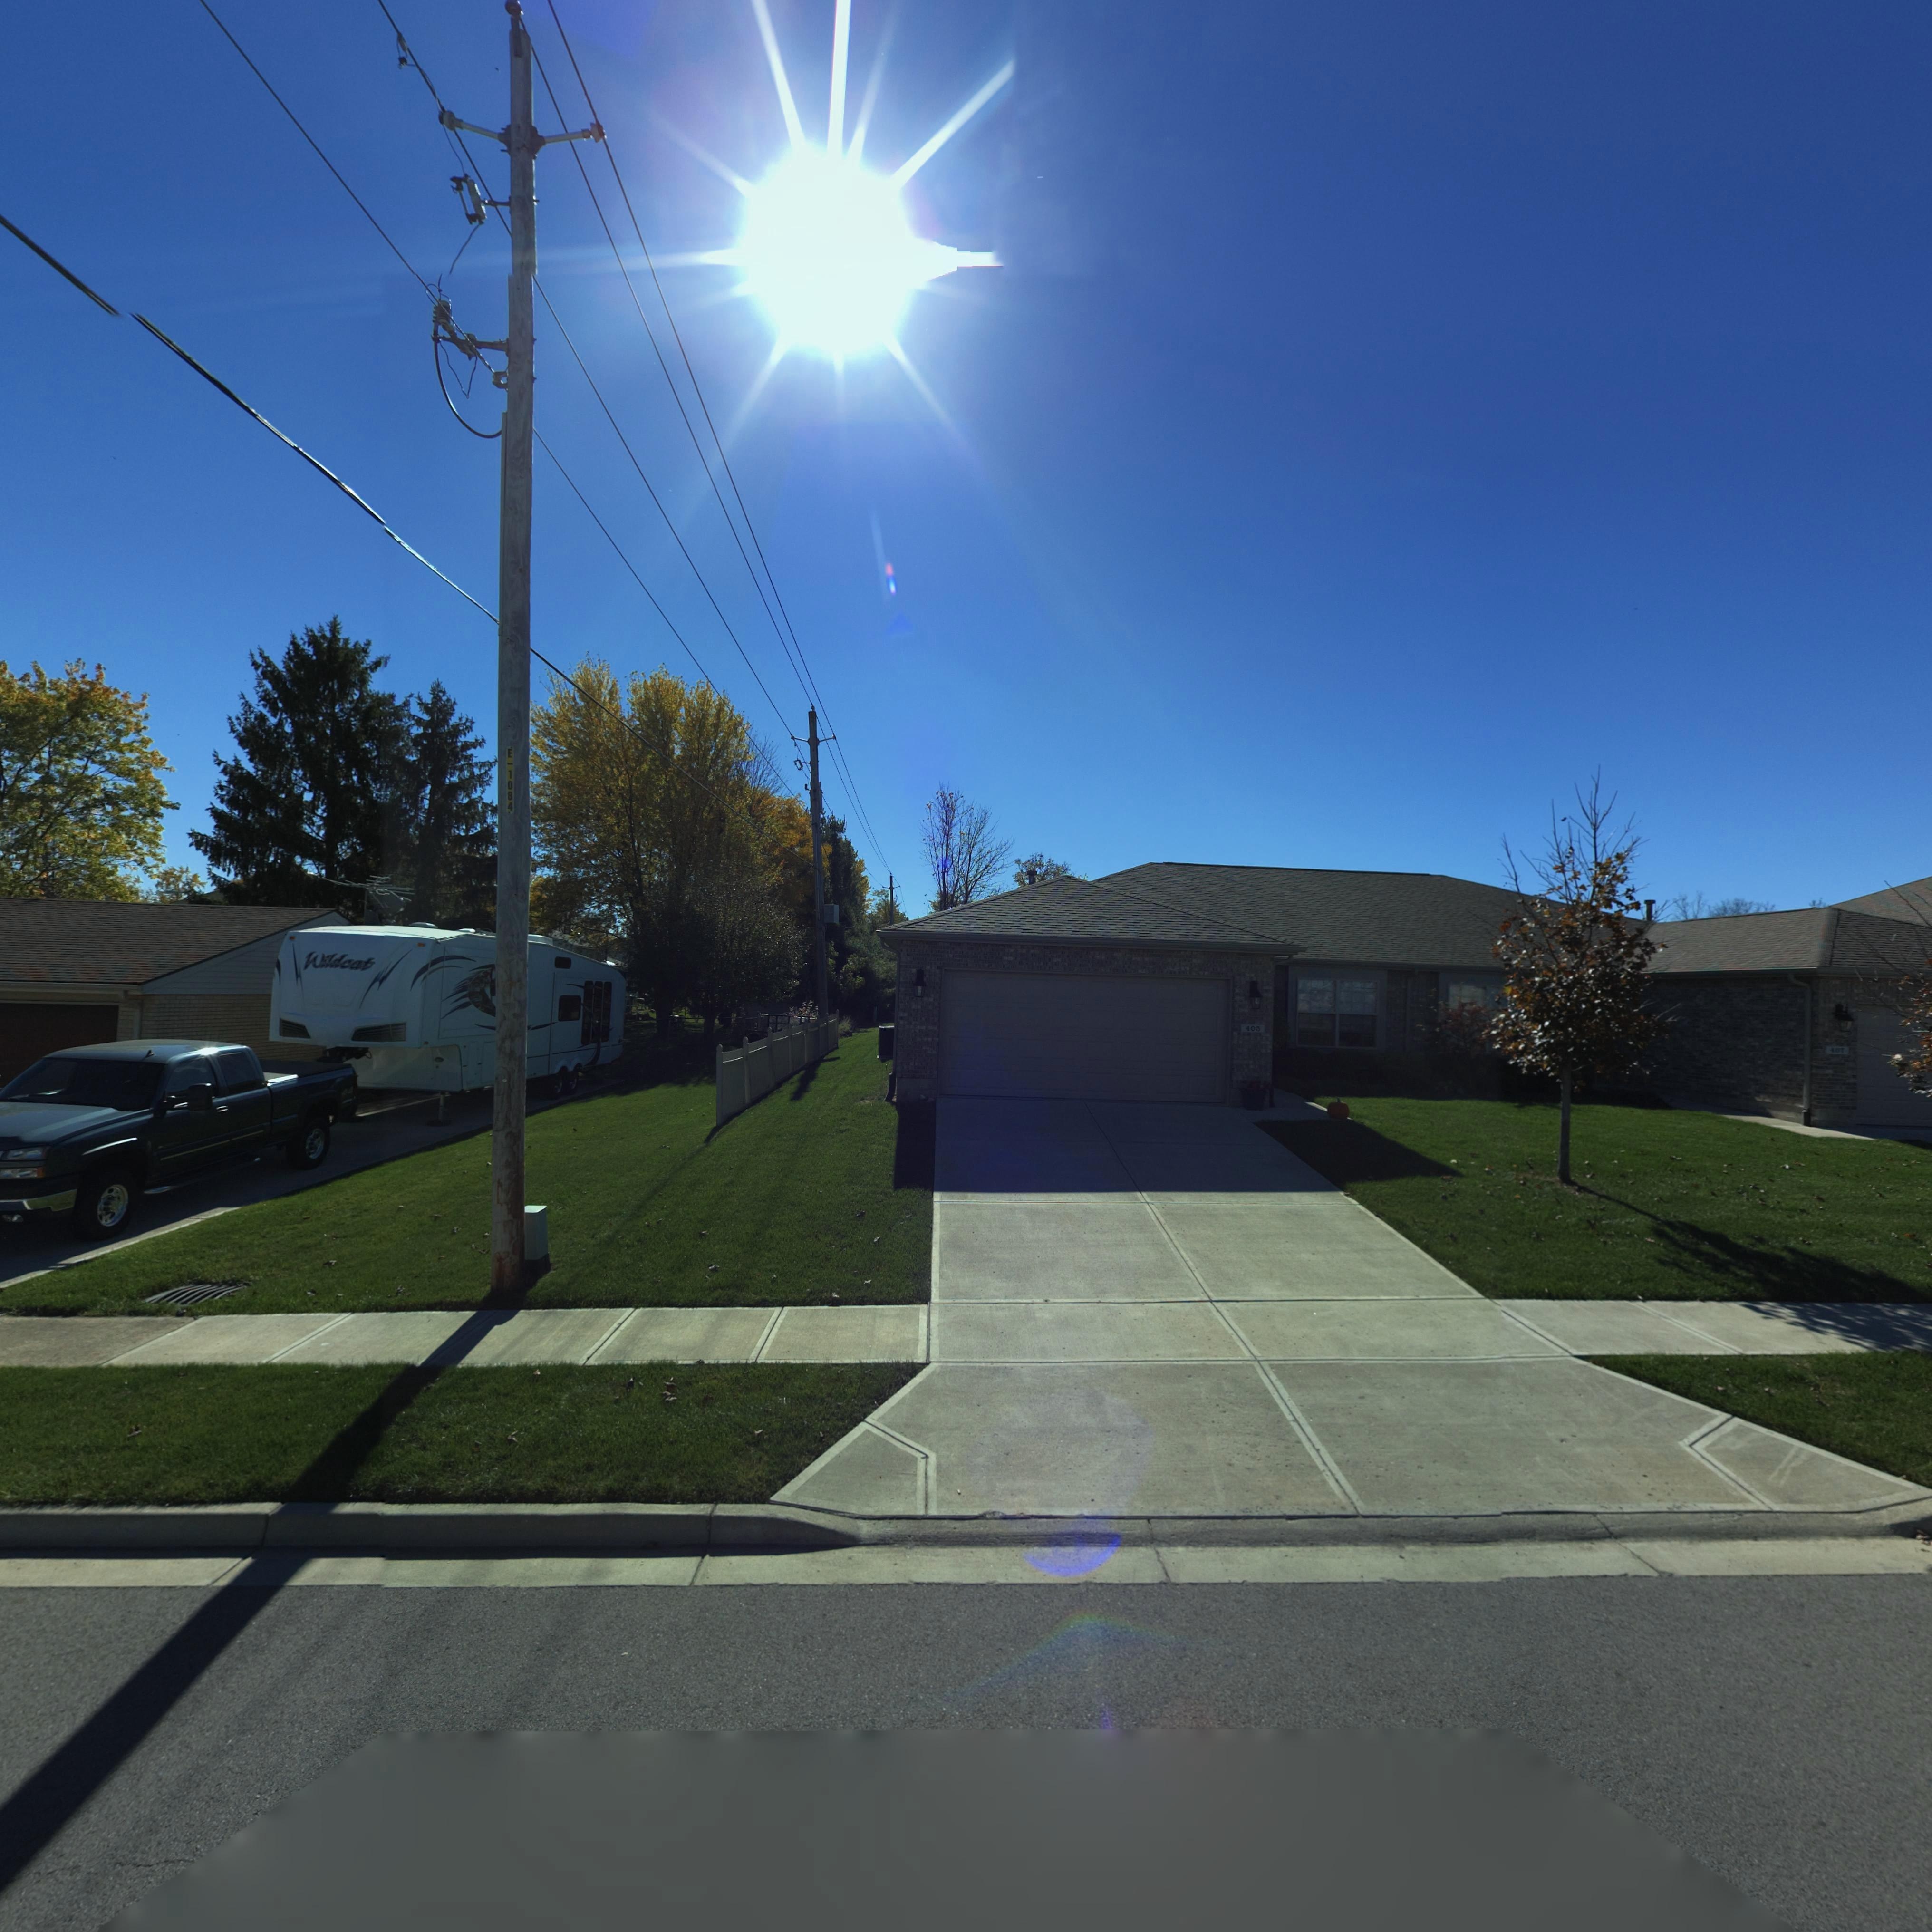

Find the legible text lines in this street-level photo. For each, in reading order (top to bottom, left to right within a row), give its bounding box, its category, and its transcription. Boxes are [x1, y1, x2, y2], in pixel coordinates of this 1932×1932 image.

[1245, 1025, 1261, 1032] StreetNumber: 403